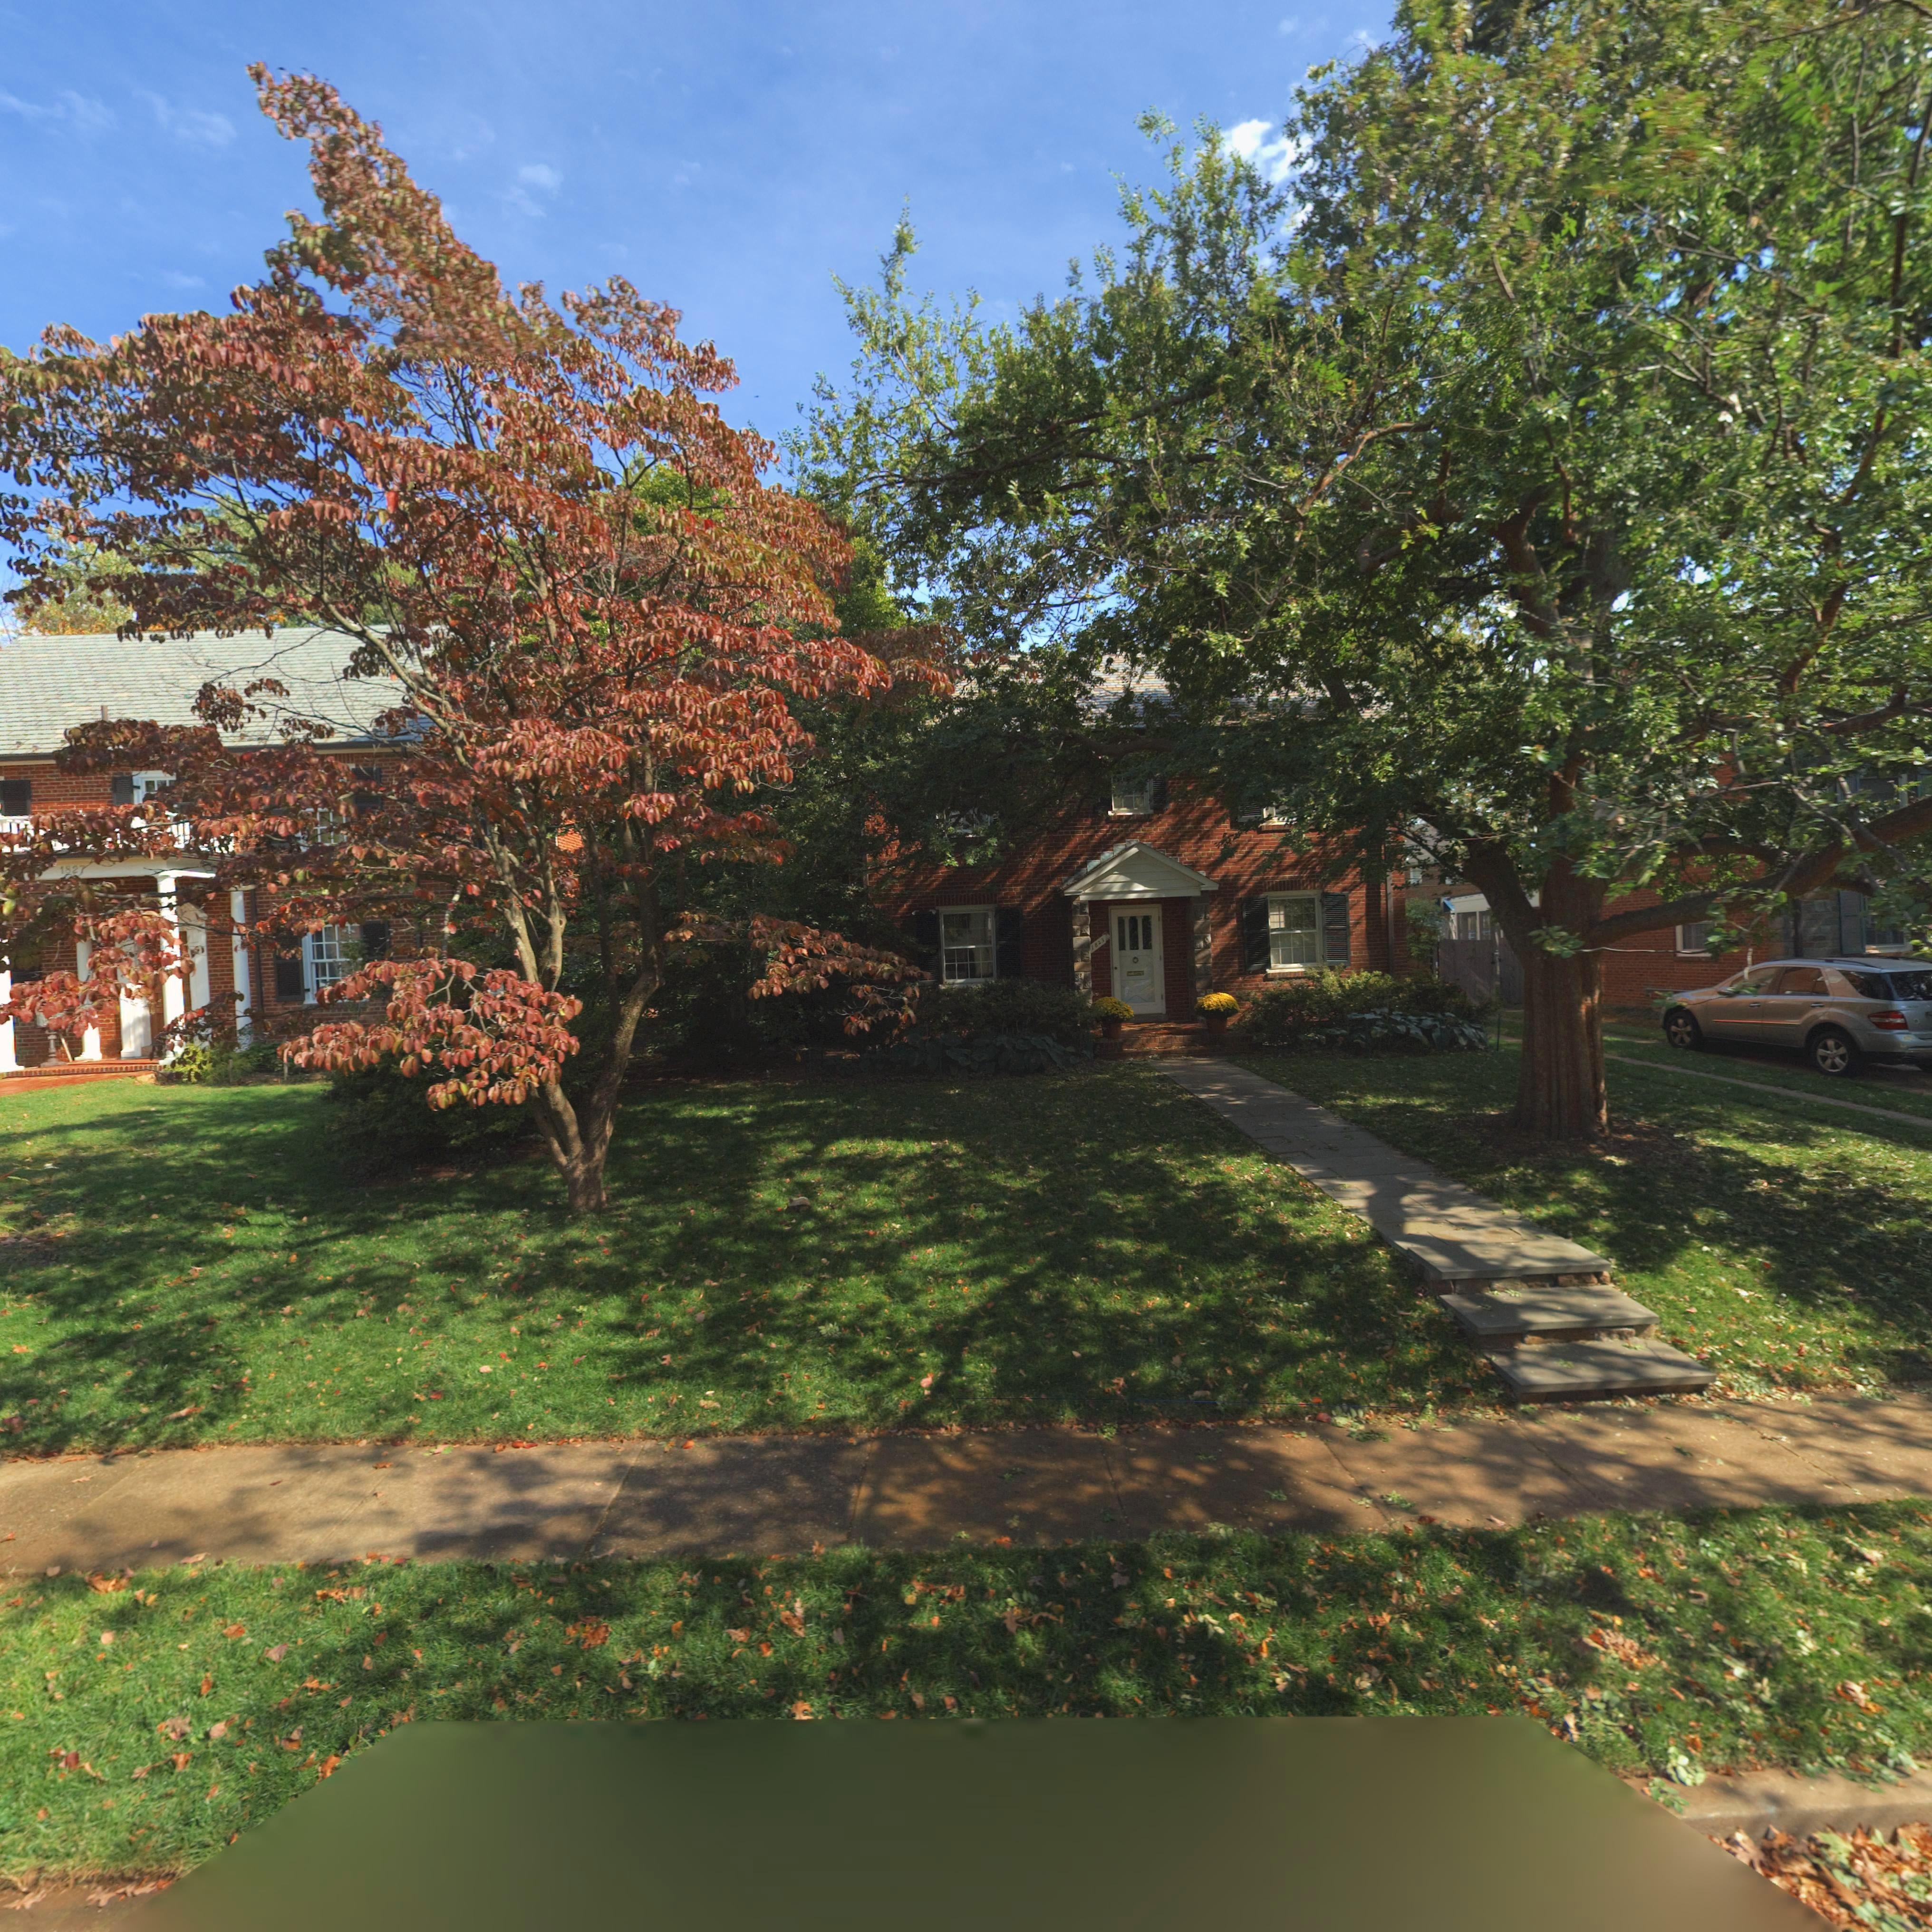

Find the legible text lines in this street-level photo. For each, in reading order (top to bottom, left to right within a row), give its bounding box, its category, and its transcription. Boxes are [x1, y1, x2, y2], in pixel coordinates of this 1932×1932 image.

[1091, 936, 1106, 953] StreetNumber: 1823